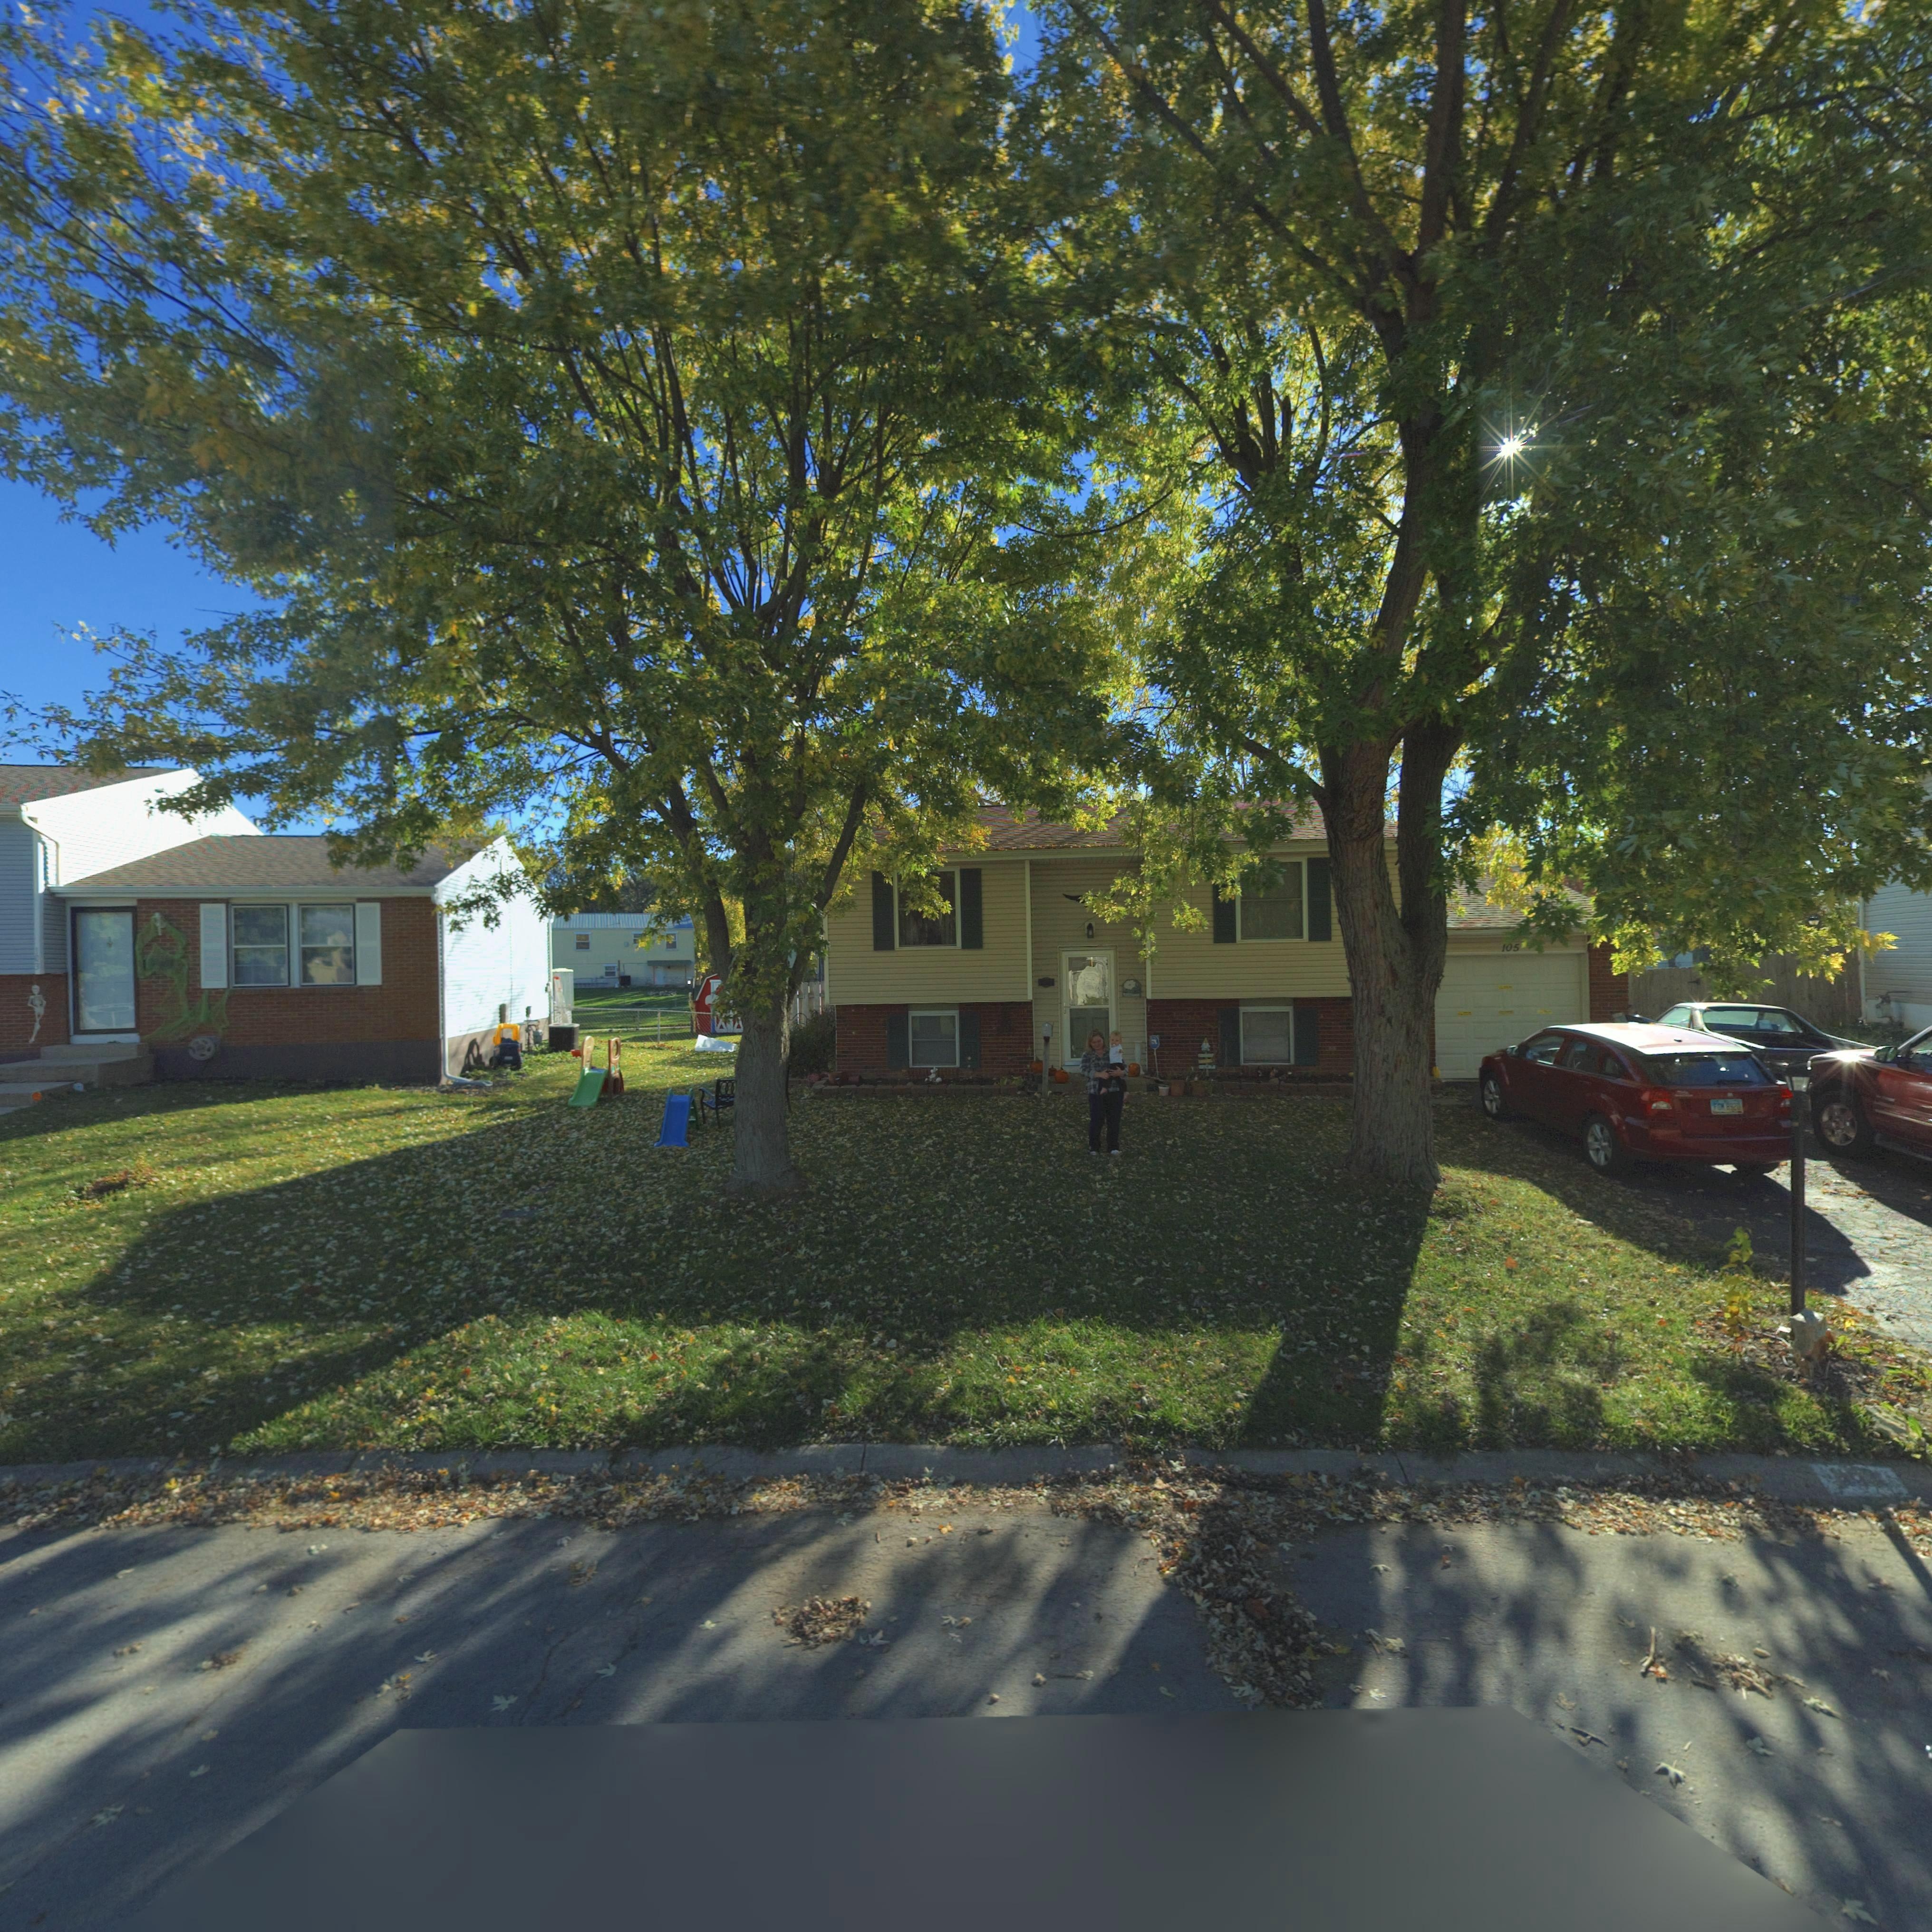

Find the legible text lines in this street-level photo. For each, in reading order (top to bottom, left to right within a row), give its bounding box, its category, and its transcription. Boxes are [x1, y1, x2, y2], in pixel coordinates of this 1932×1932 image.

[34, 947, 39, 970] StreetNumber: 103
[1501, 943, 1520, 952] StreetNumber: 105